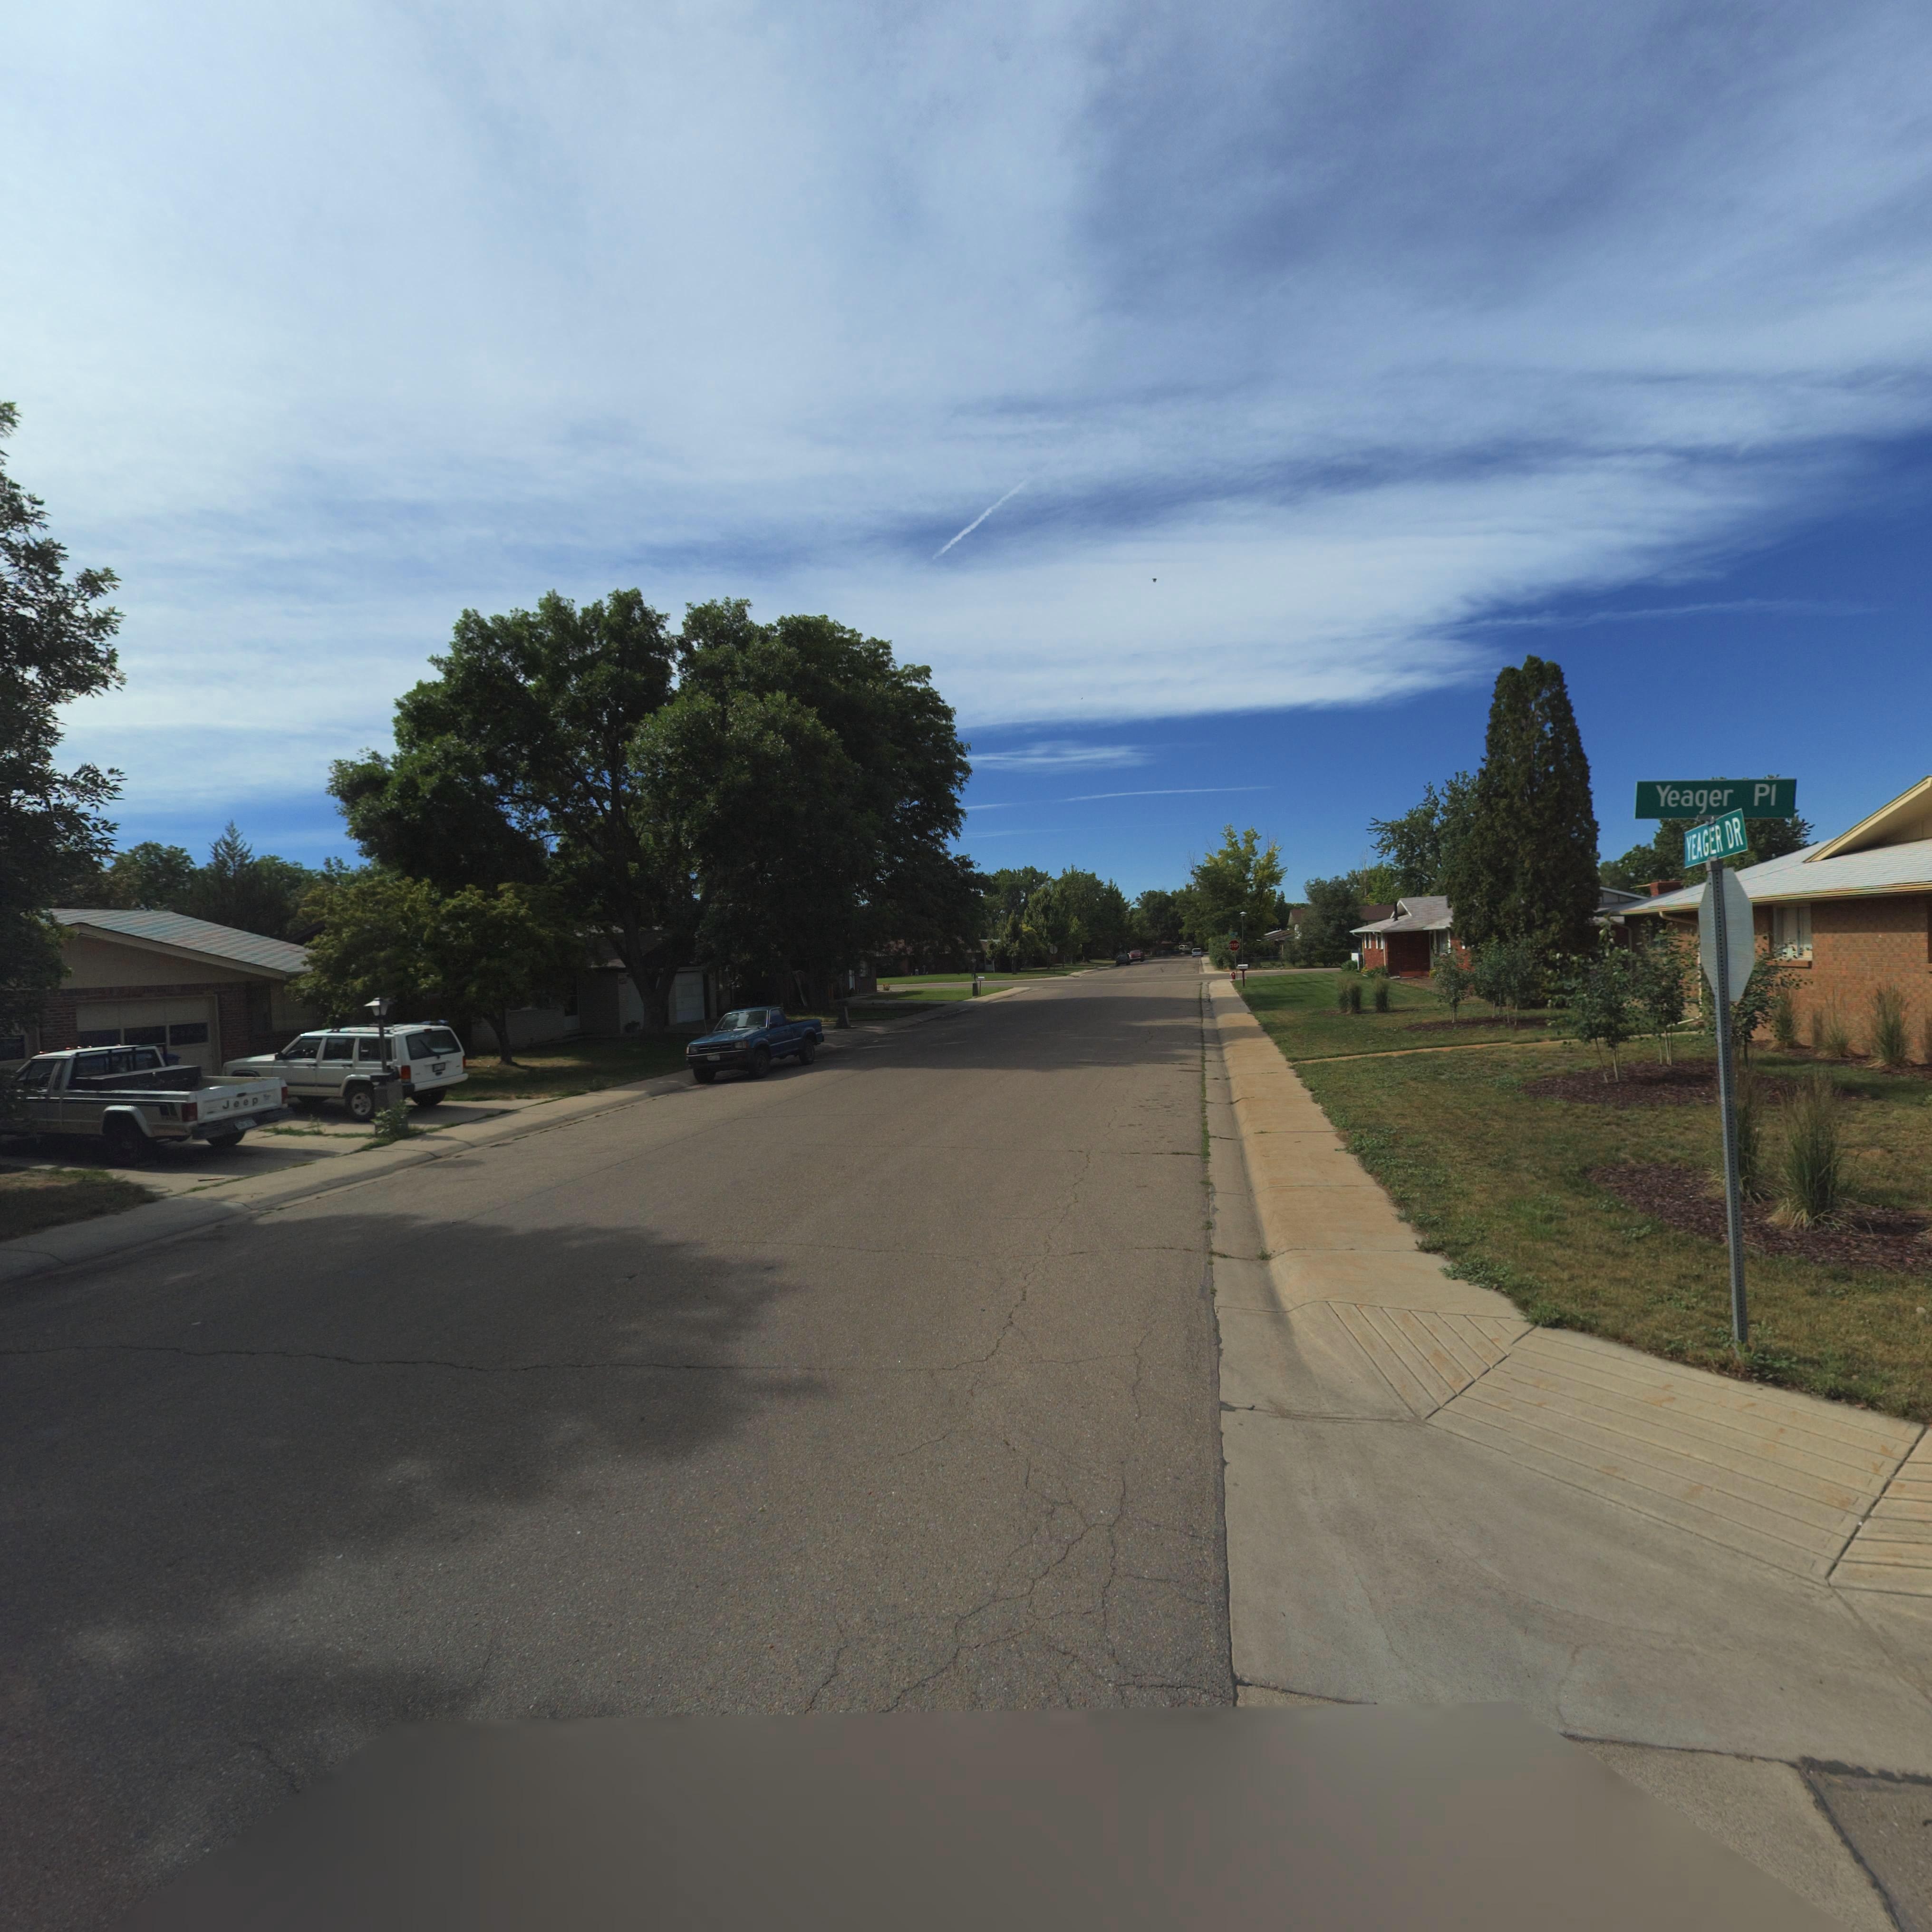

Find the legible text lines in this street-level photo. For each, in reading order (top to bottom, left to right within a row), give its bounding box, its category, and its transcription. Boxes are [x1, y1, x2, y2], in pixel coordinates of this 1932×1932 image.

[1652, 782, 1778, 815] StreetName: Yeager Pl
[1685, 815, 1746, 863] StreetName: YEAGER DR